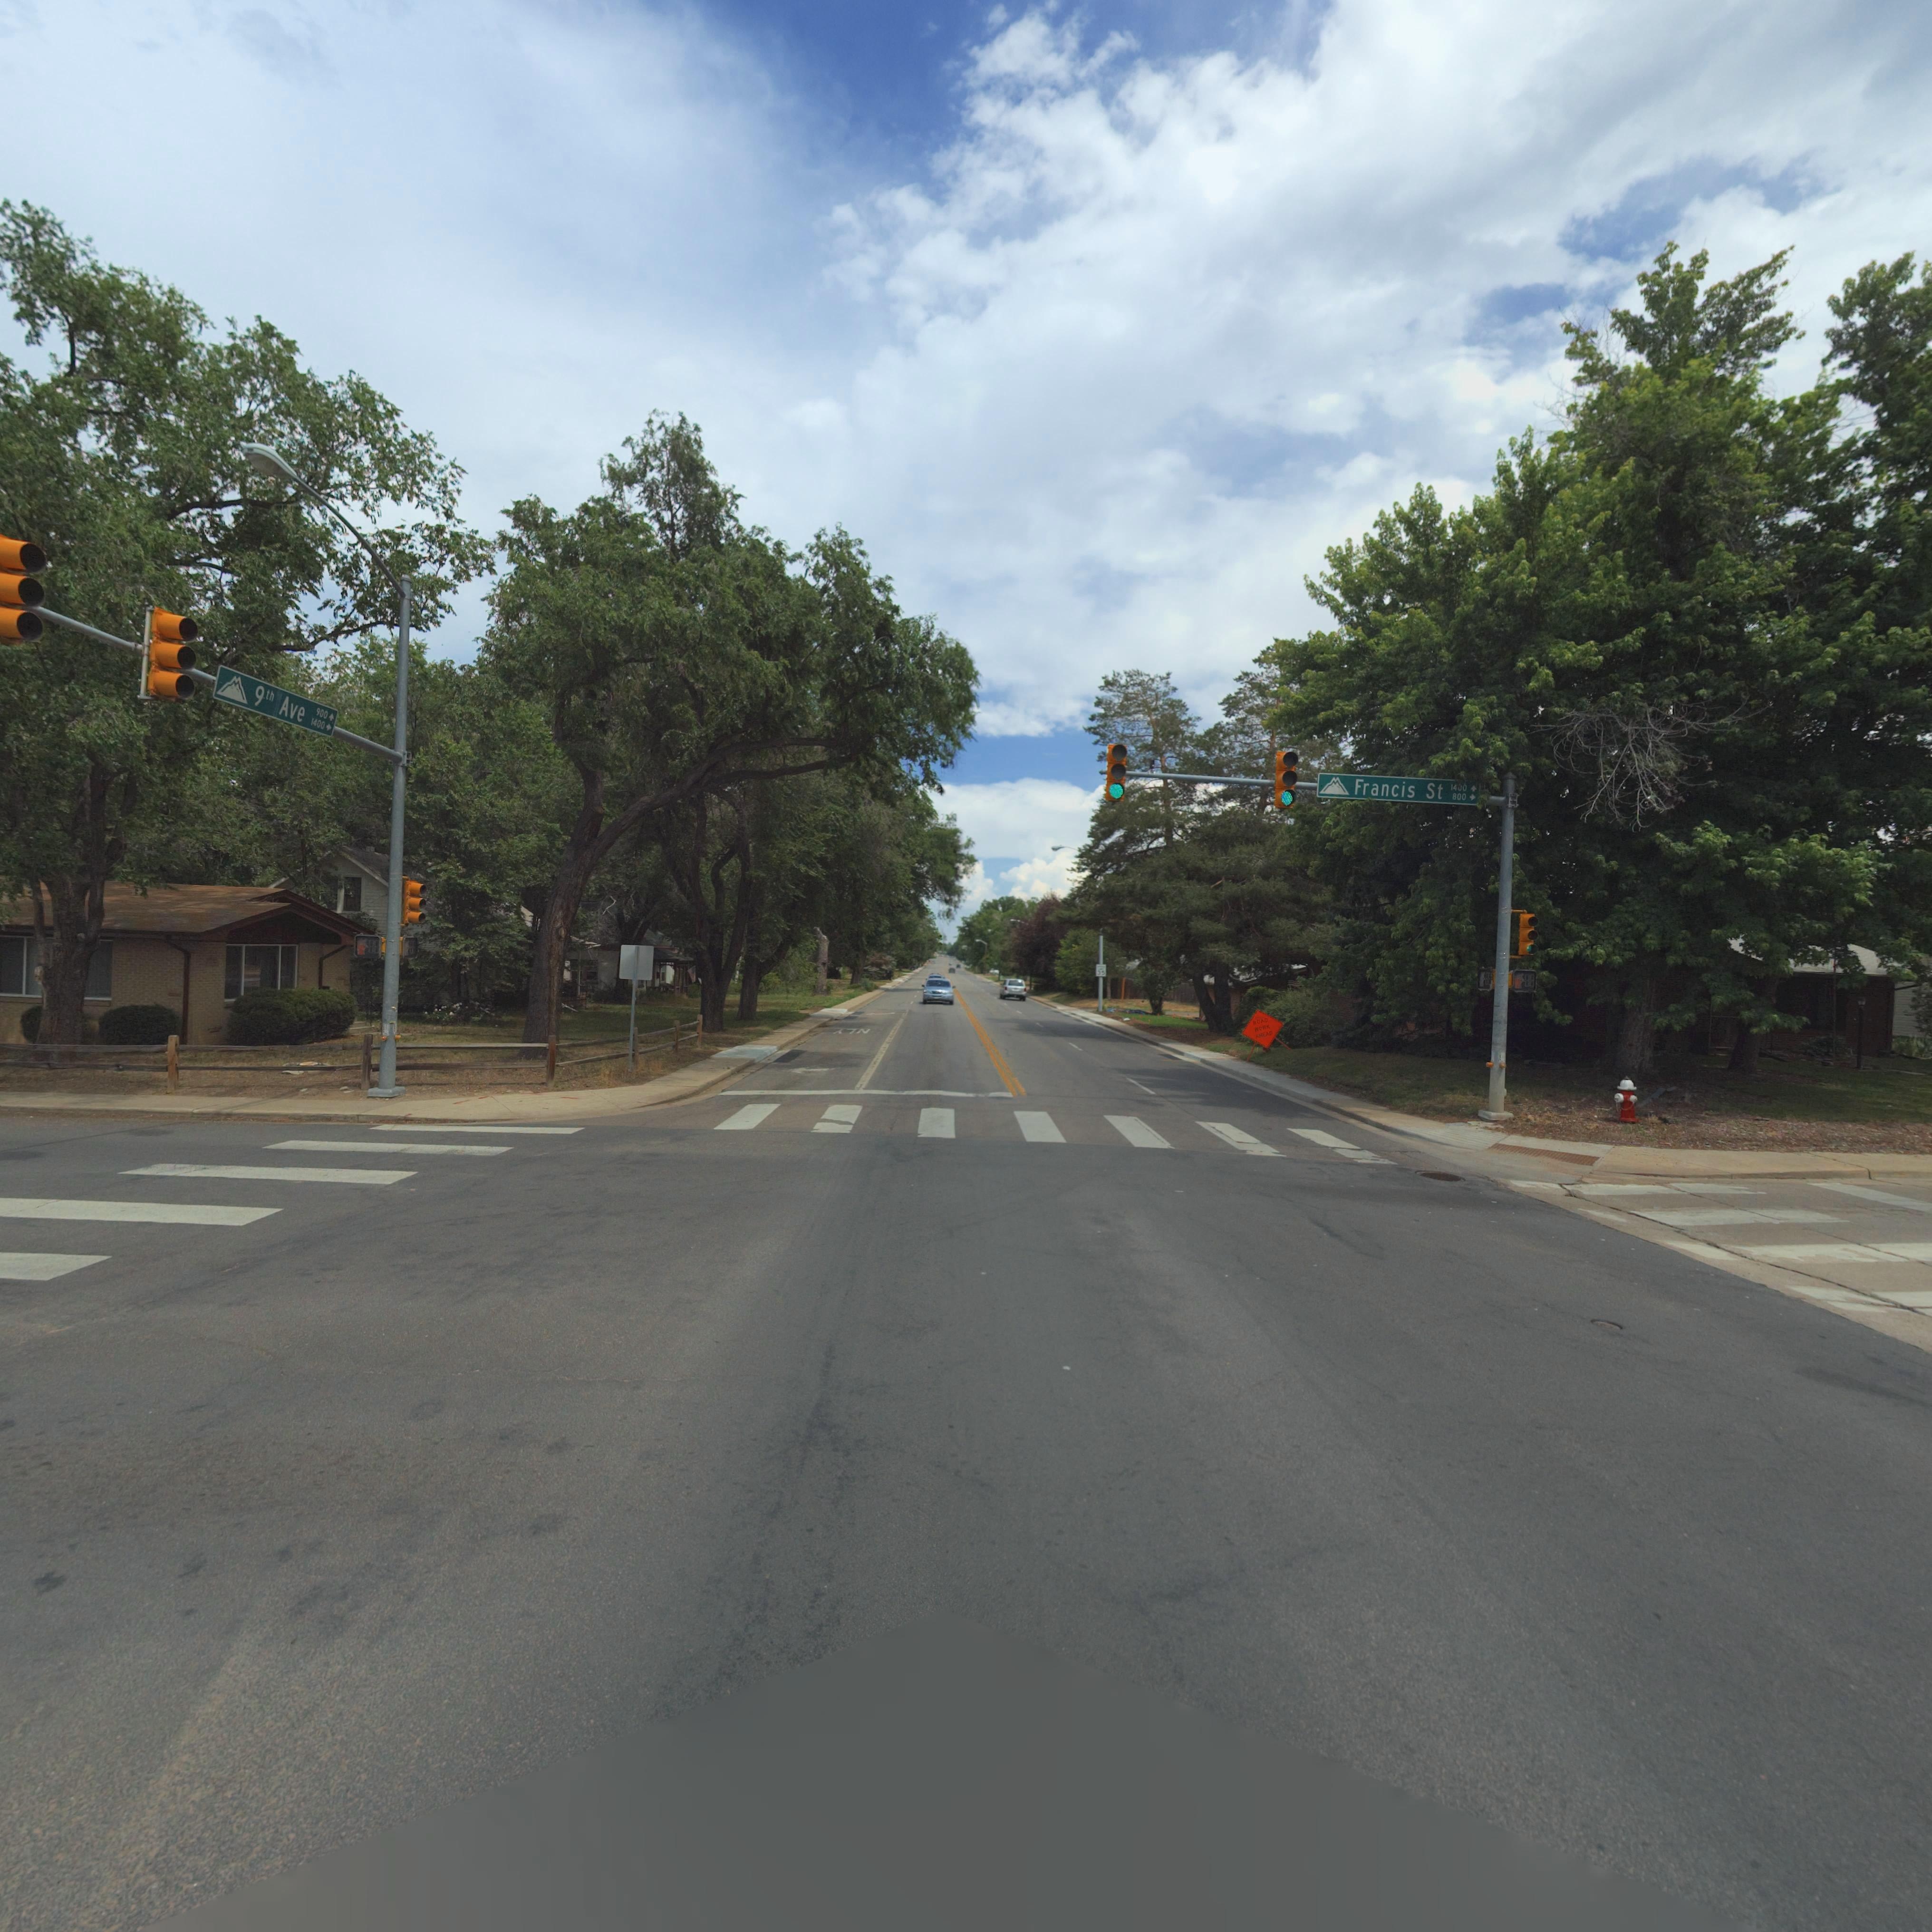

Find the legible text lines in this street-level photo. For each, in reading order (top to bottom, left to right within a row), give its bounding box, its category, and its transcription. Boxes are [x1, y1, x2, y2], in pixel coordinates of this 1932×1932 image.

[254, 685, 305, 722] StreetName: 9th Ave
[316, 707, 328, 720] StreetNumberRange: 900
[310, 717, 332, 731] StreetNumberRange: 1400->
[1354, 778, 1443, 799] StreetName: Francis St
[1450, 783, 1467, 791] StreetNumberRange: 1400
[1452, 792, 1476, 801] StreetNumberRange: 800->